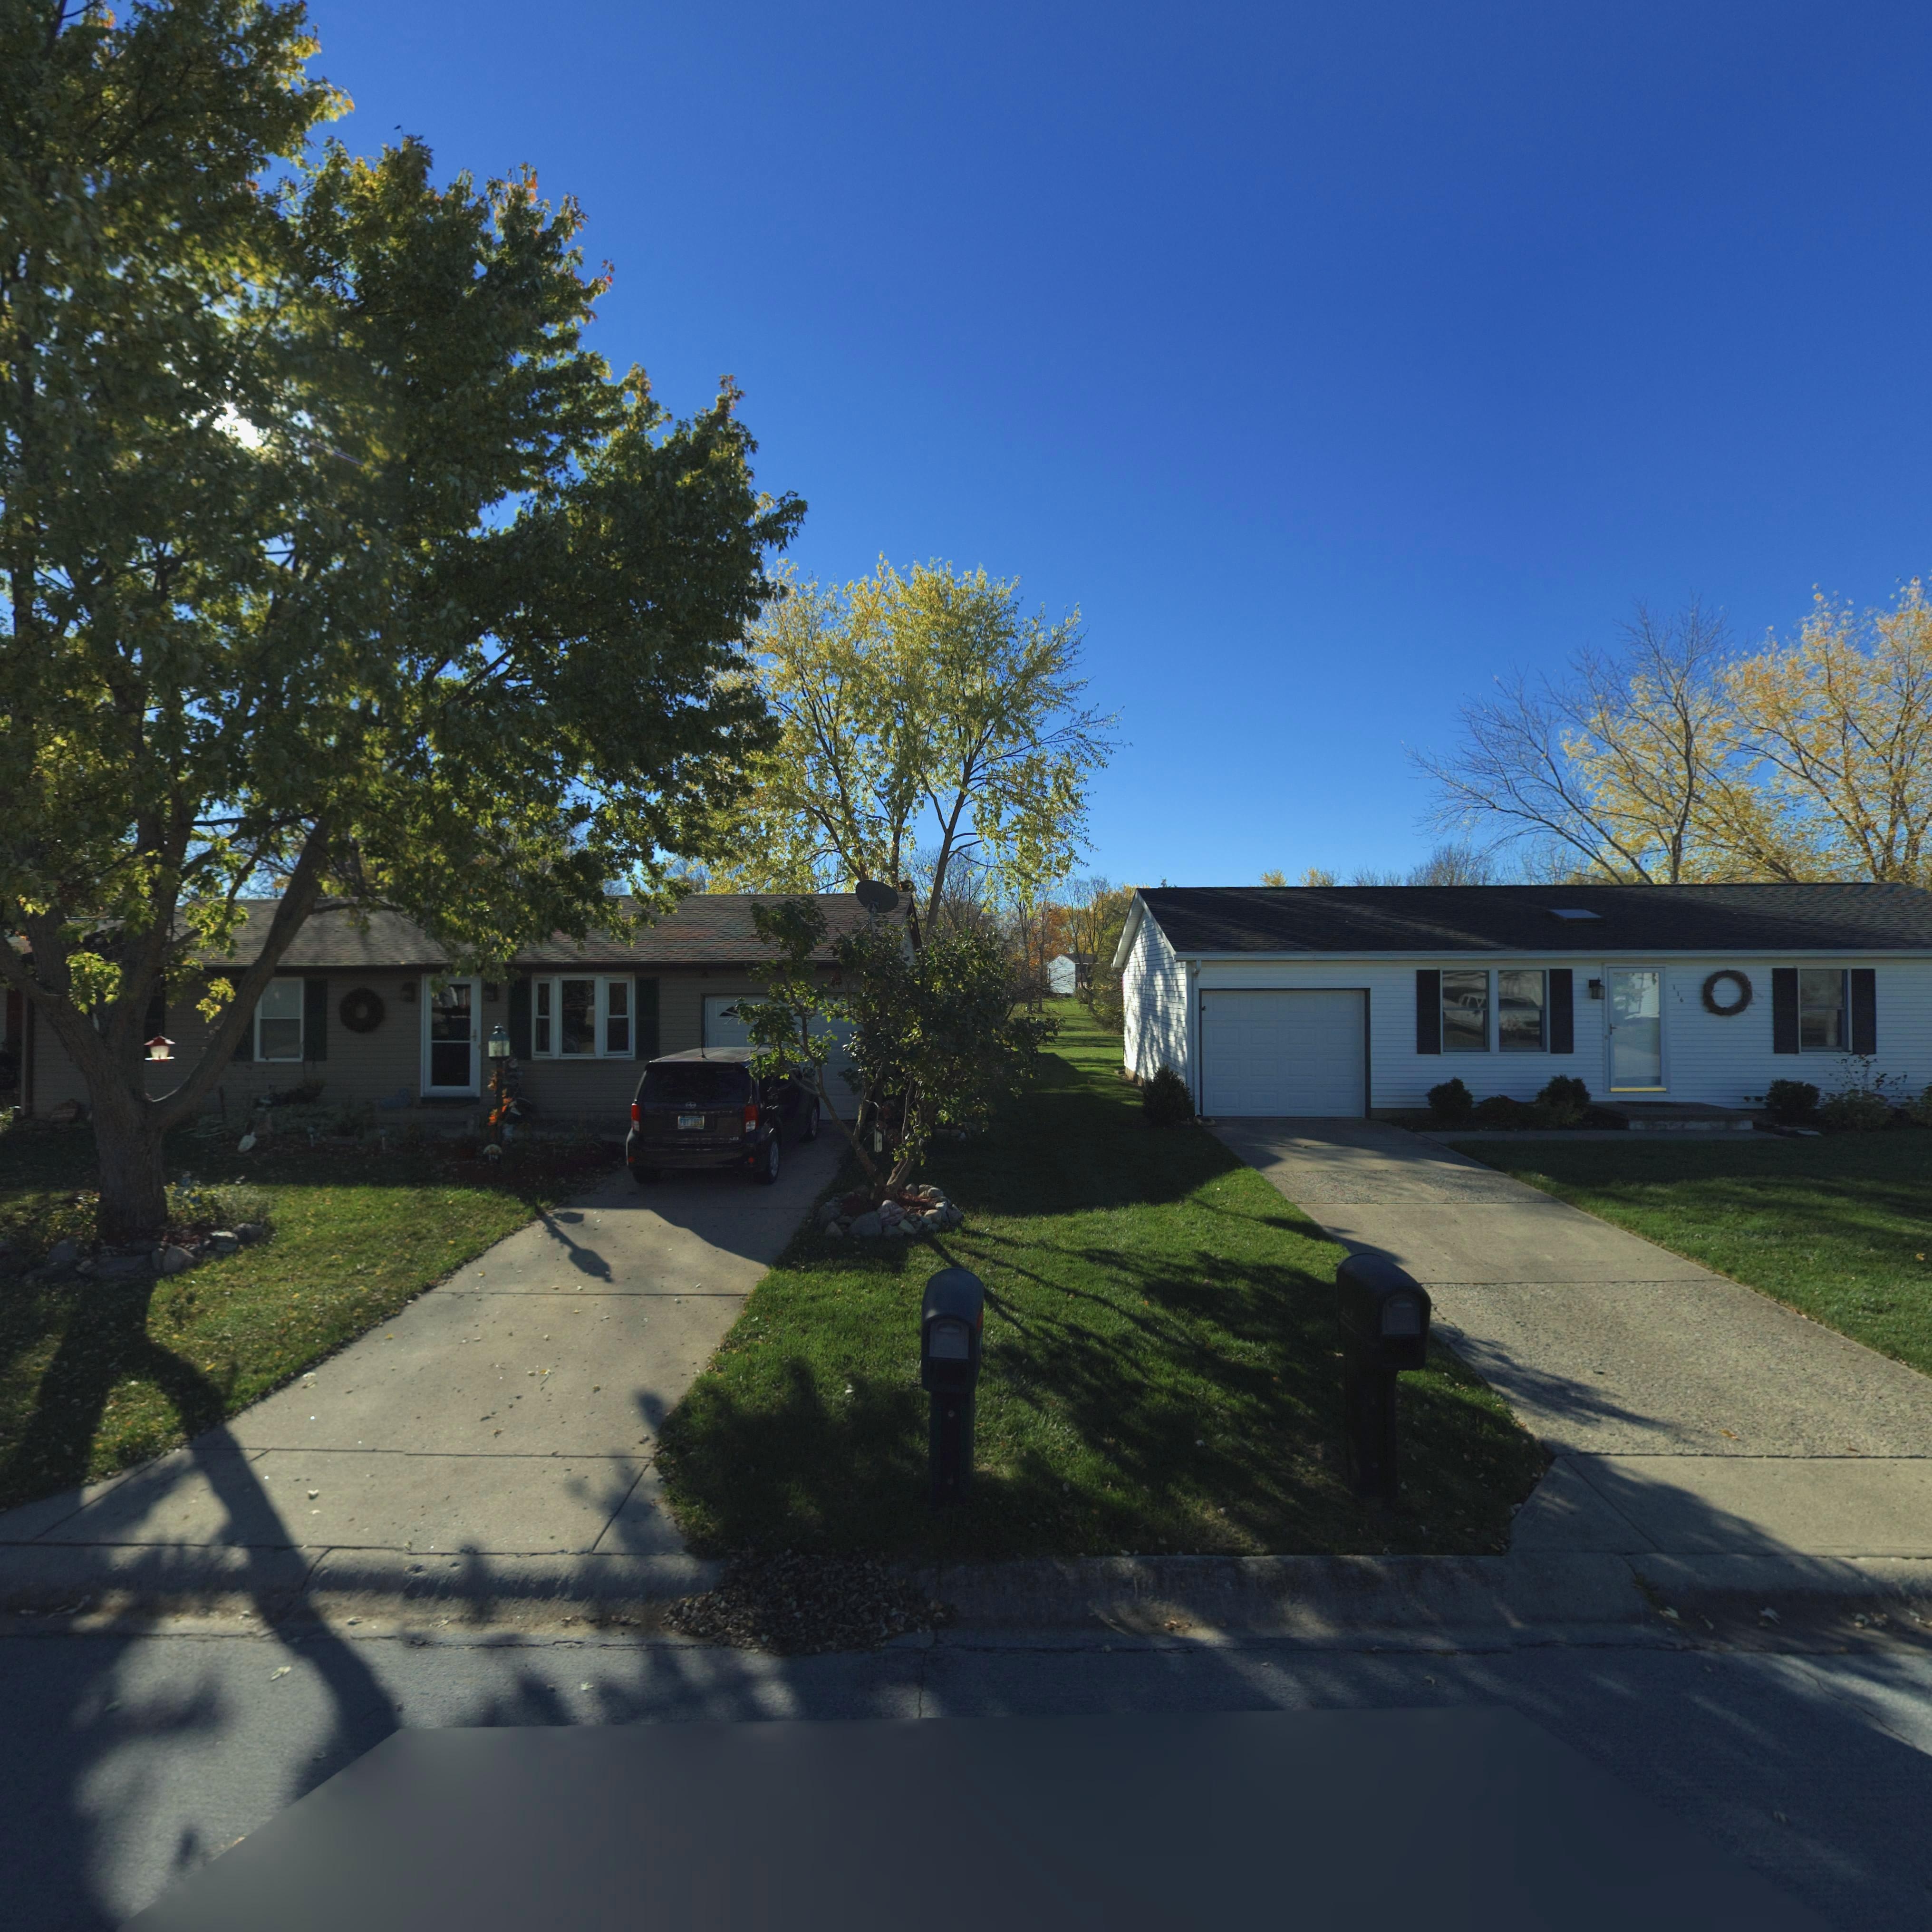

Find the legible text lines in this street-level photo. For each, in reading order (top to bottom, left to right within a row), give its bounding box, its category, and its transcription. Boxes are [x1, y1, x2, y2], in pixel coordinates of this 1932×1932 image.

[1672, 984, 1684, 1003] StreetNumber: 116